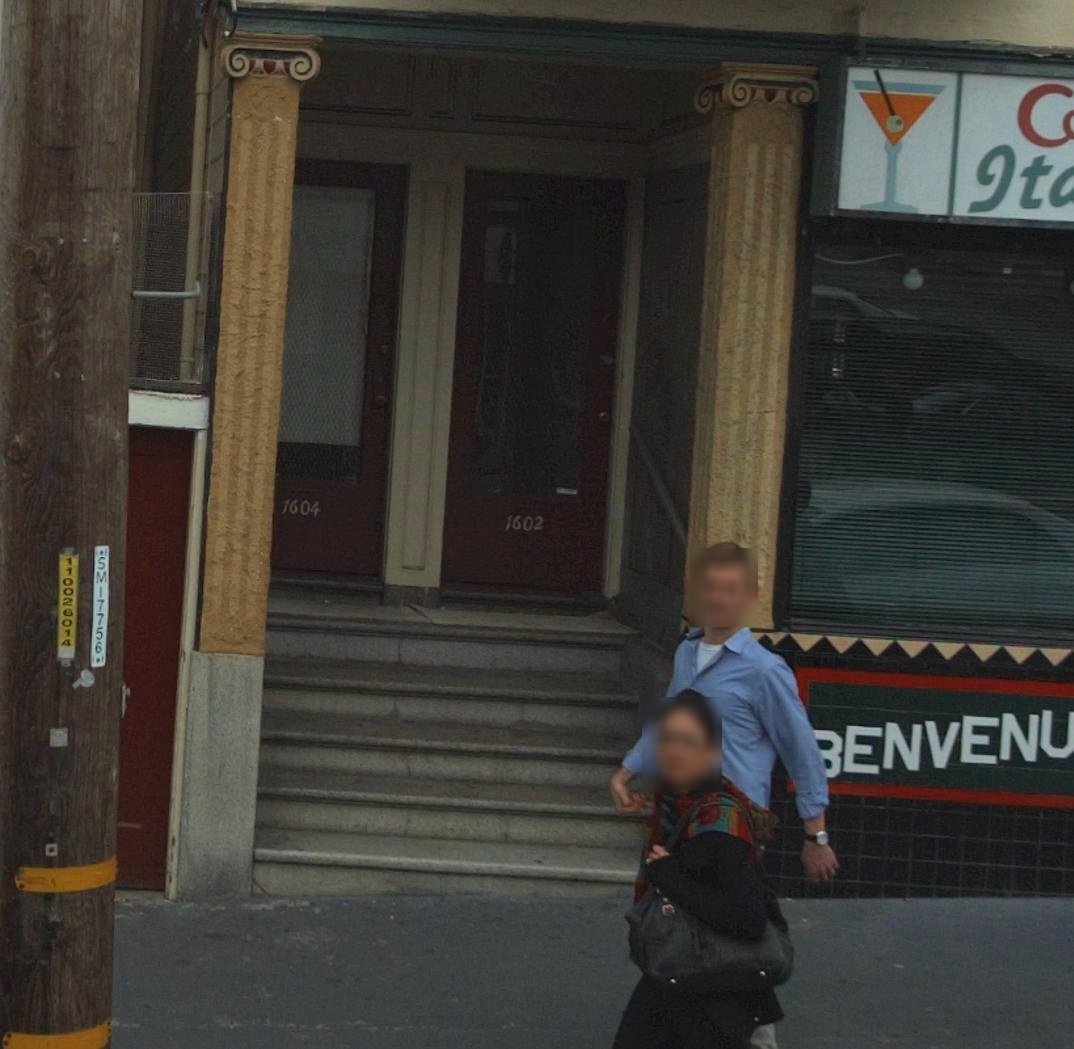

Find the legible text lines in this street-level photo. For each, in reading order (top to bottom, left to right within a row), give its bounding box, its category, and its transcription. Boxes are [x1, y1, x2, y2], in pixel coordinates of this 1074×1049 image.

[1009, 79, 1074, 154] BusinessName: C
[964, 132, 1064, 219] BusinessName: 9t
[276, 495, 324, 522] StreetNumber: 1604
[502, 512, 547, 535] StreetNumber: 1602
[60, 554, 77, 652] None: 110026014
[92, 552, 109, 658] None: SM17756
[836, 705, 1044, 781] None: ENVEN